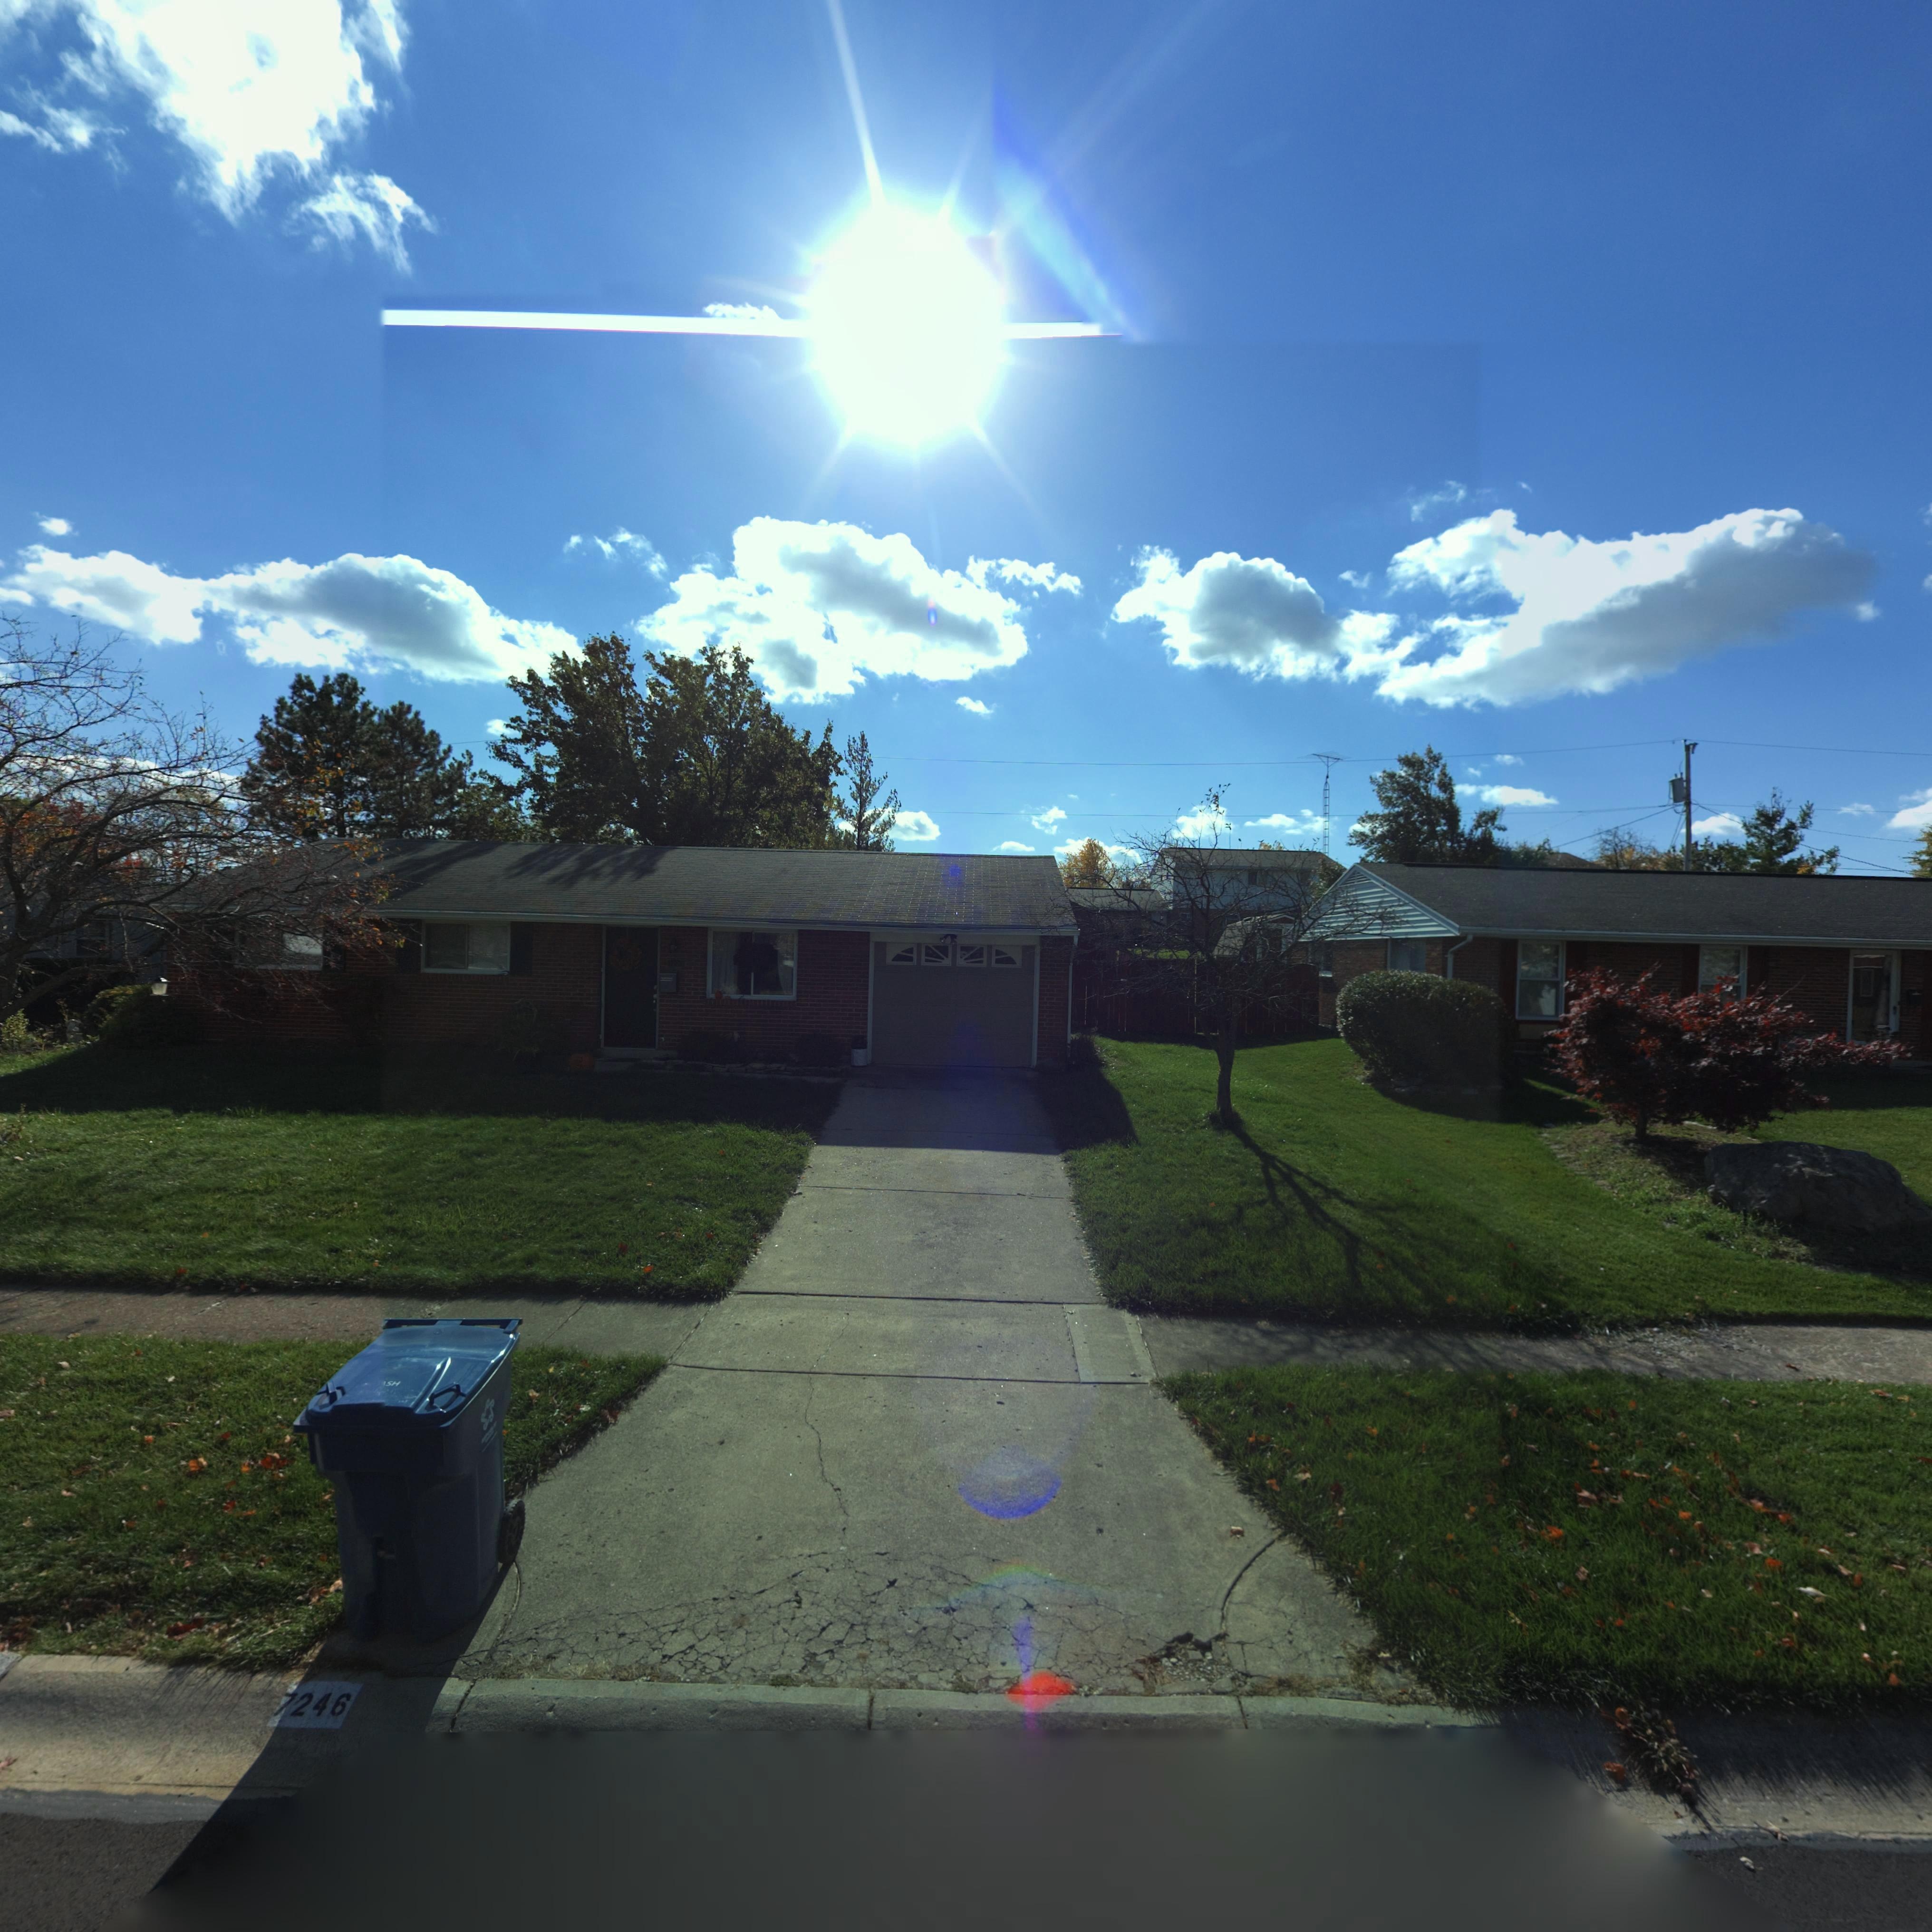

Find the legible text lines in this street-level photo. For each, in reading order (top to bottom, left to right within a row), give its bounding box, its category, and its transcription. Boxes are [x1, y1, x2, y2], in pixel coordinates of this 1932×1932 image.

[270, 1690, 353, 1719] StreetNumber: 7246